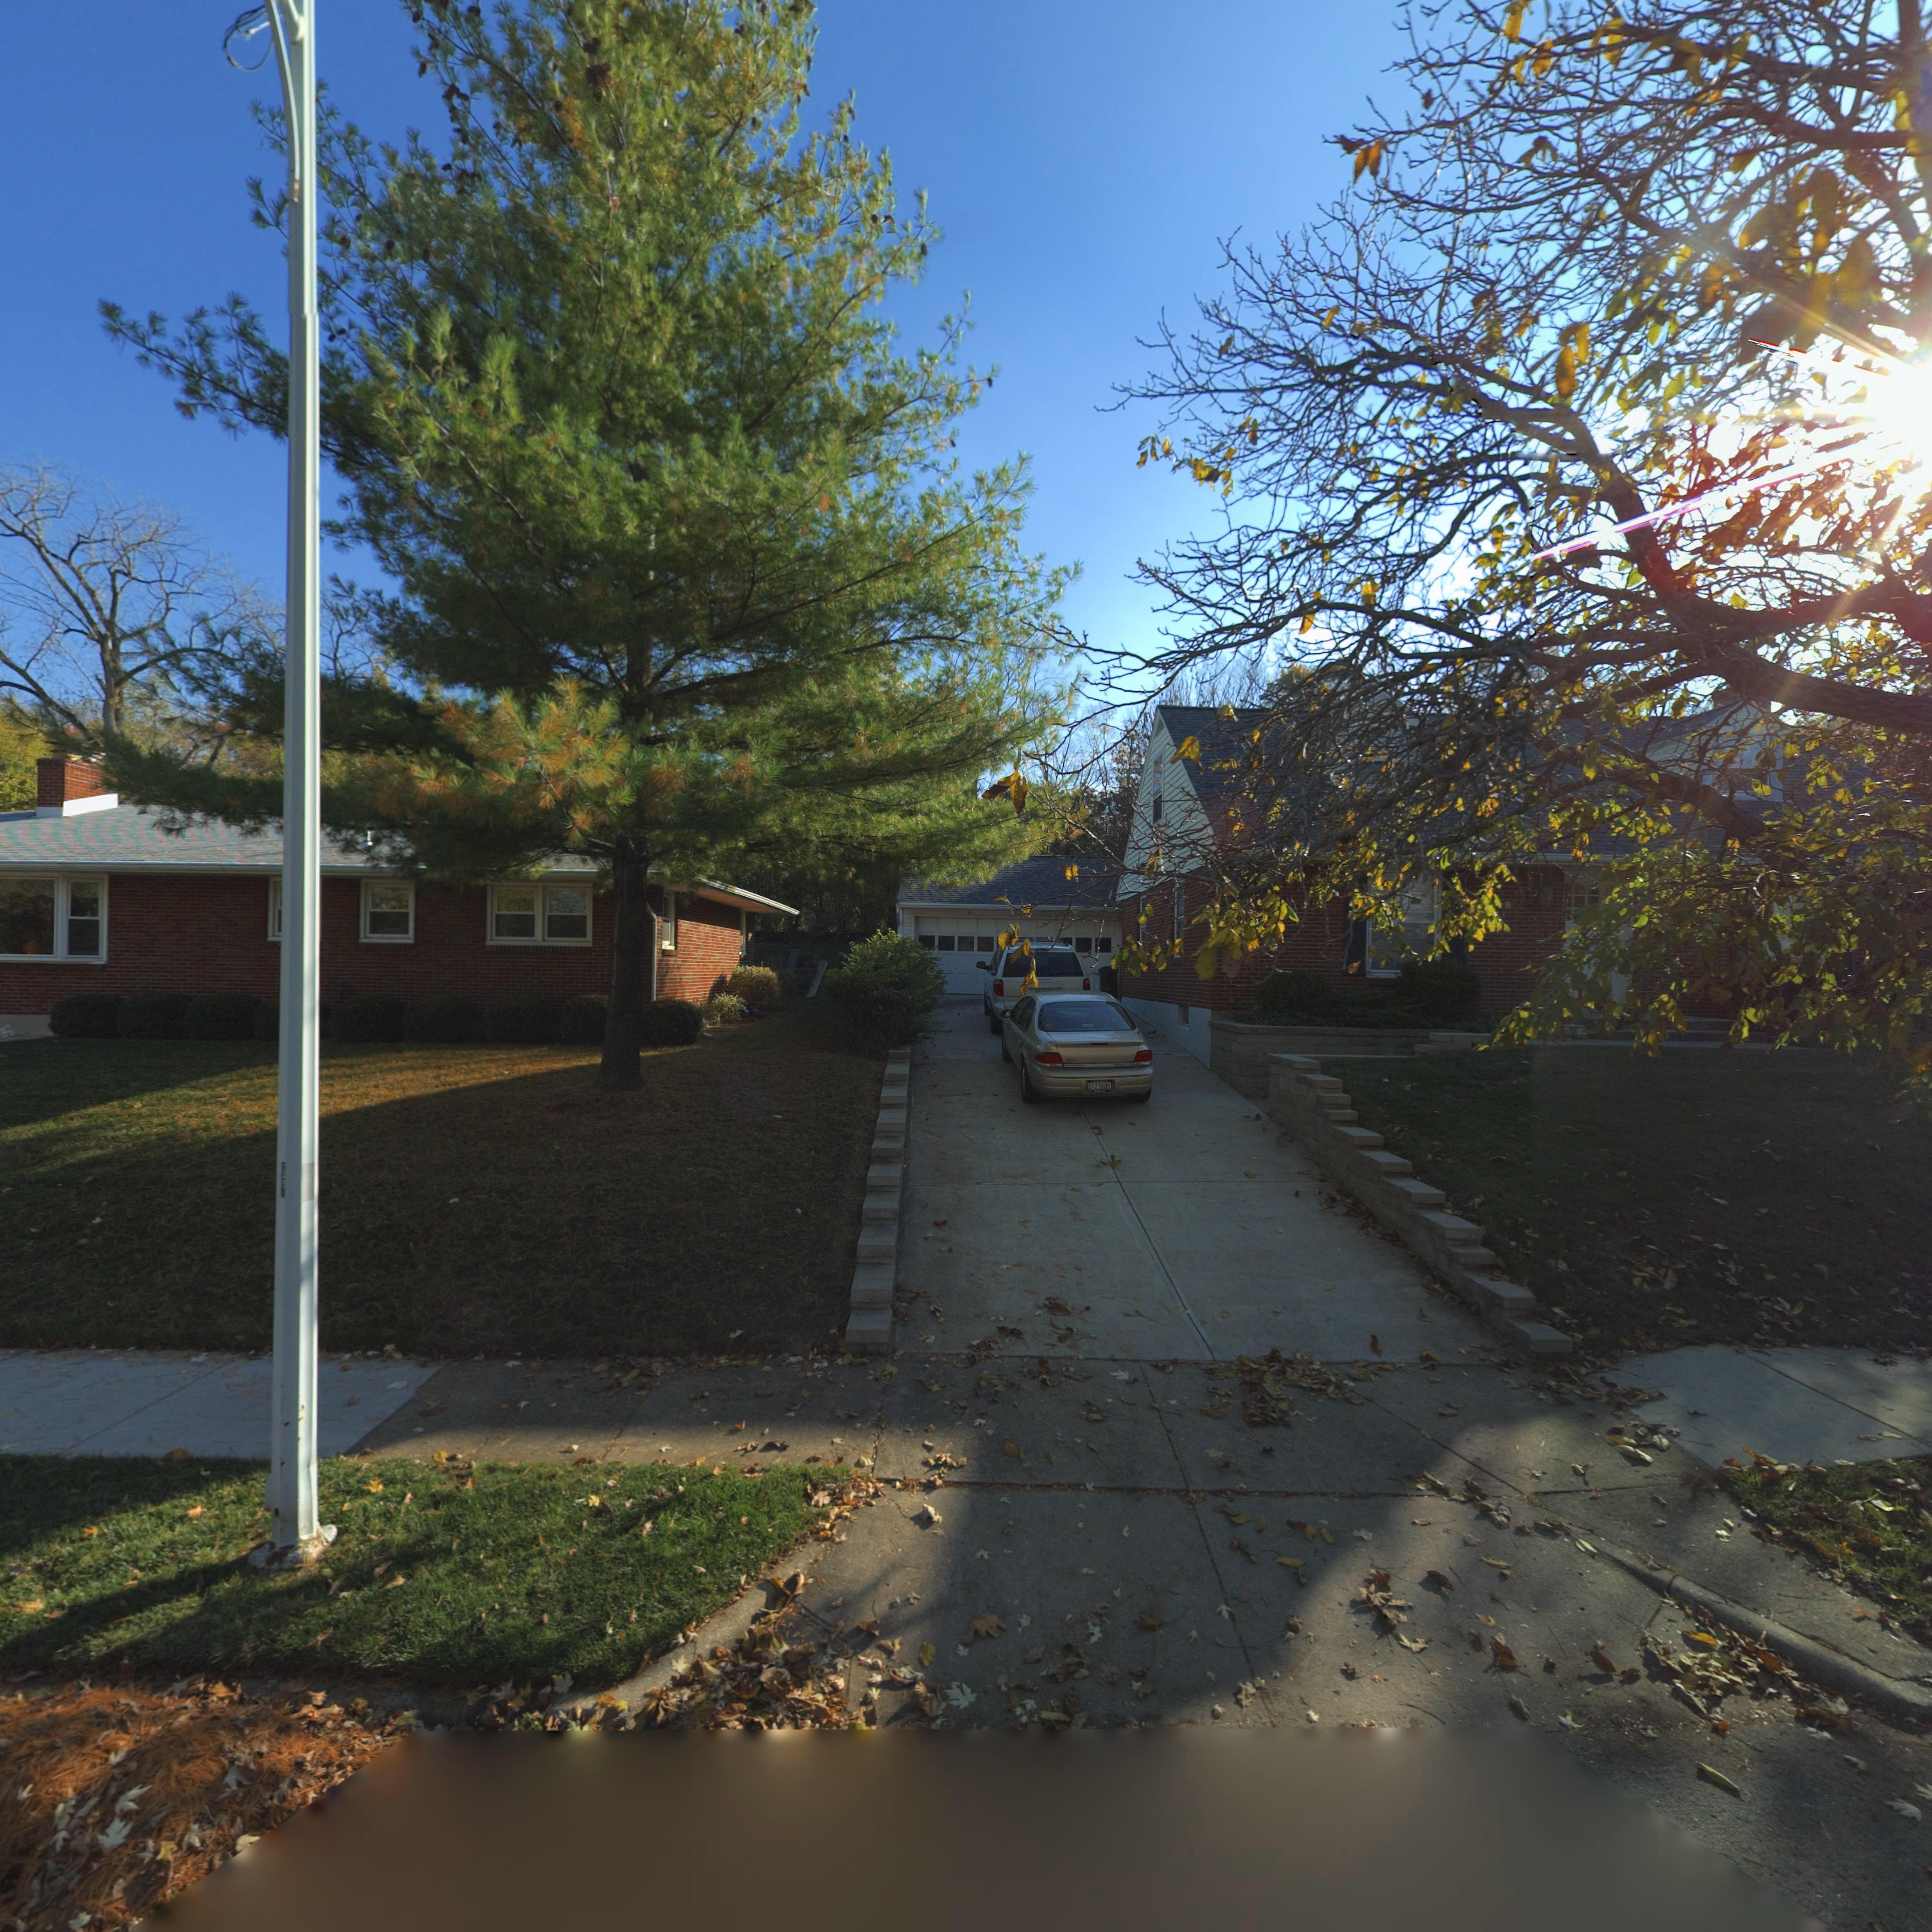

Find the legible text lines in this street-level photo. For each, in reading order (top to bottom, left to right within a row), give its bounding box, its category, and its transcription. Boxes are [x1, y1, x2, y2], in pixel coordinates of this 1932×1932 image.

[1505, 901, 1511, 909] StreetNumber: 8